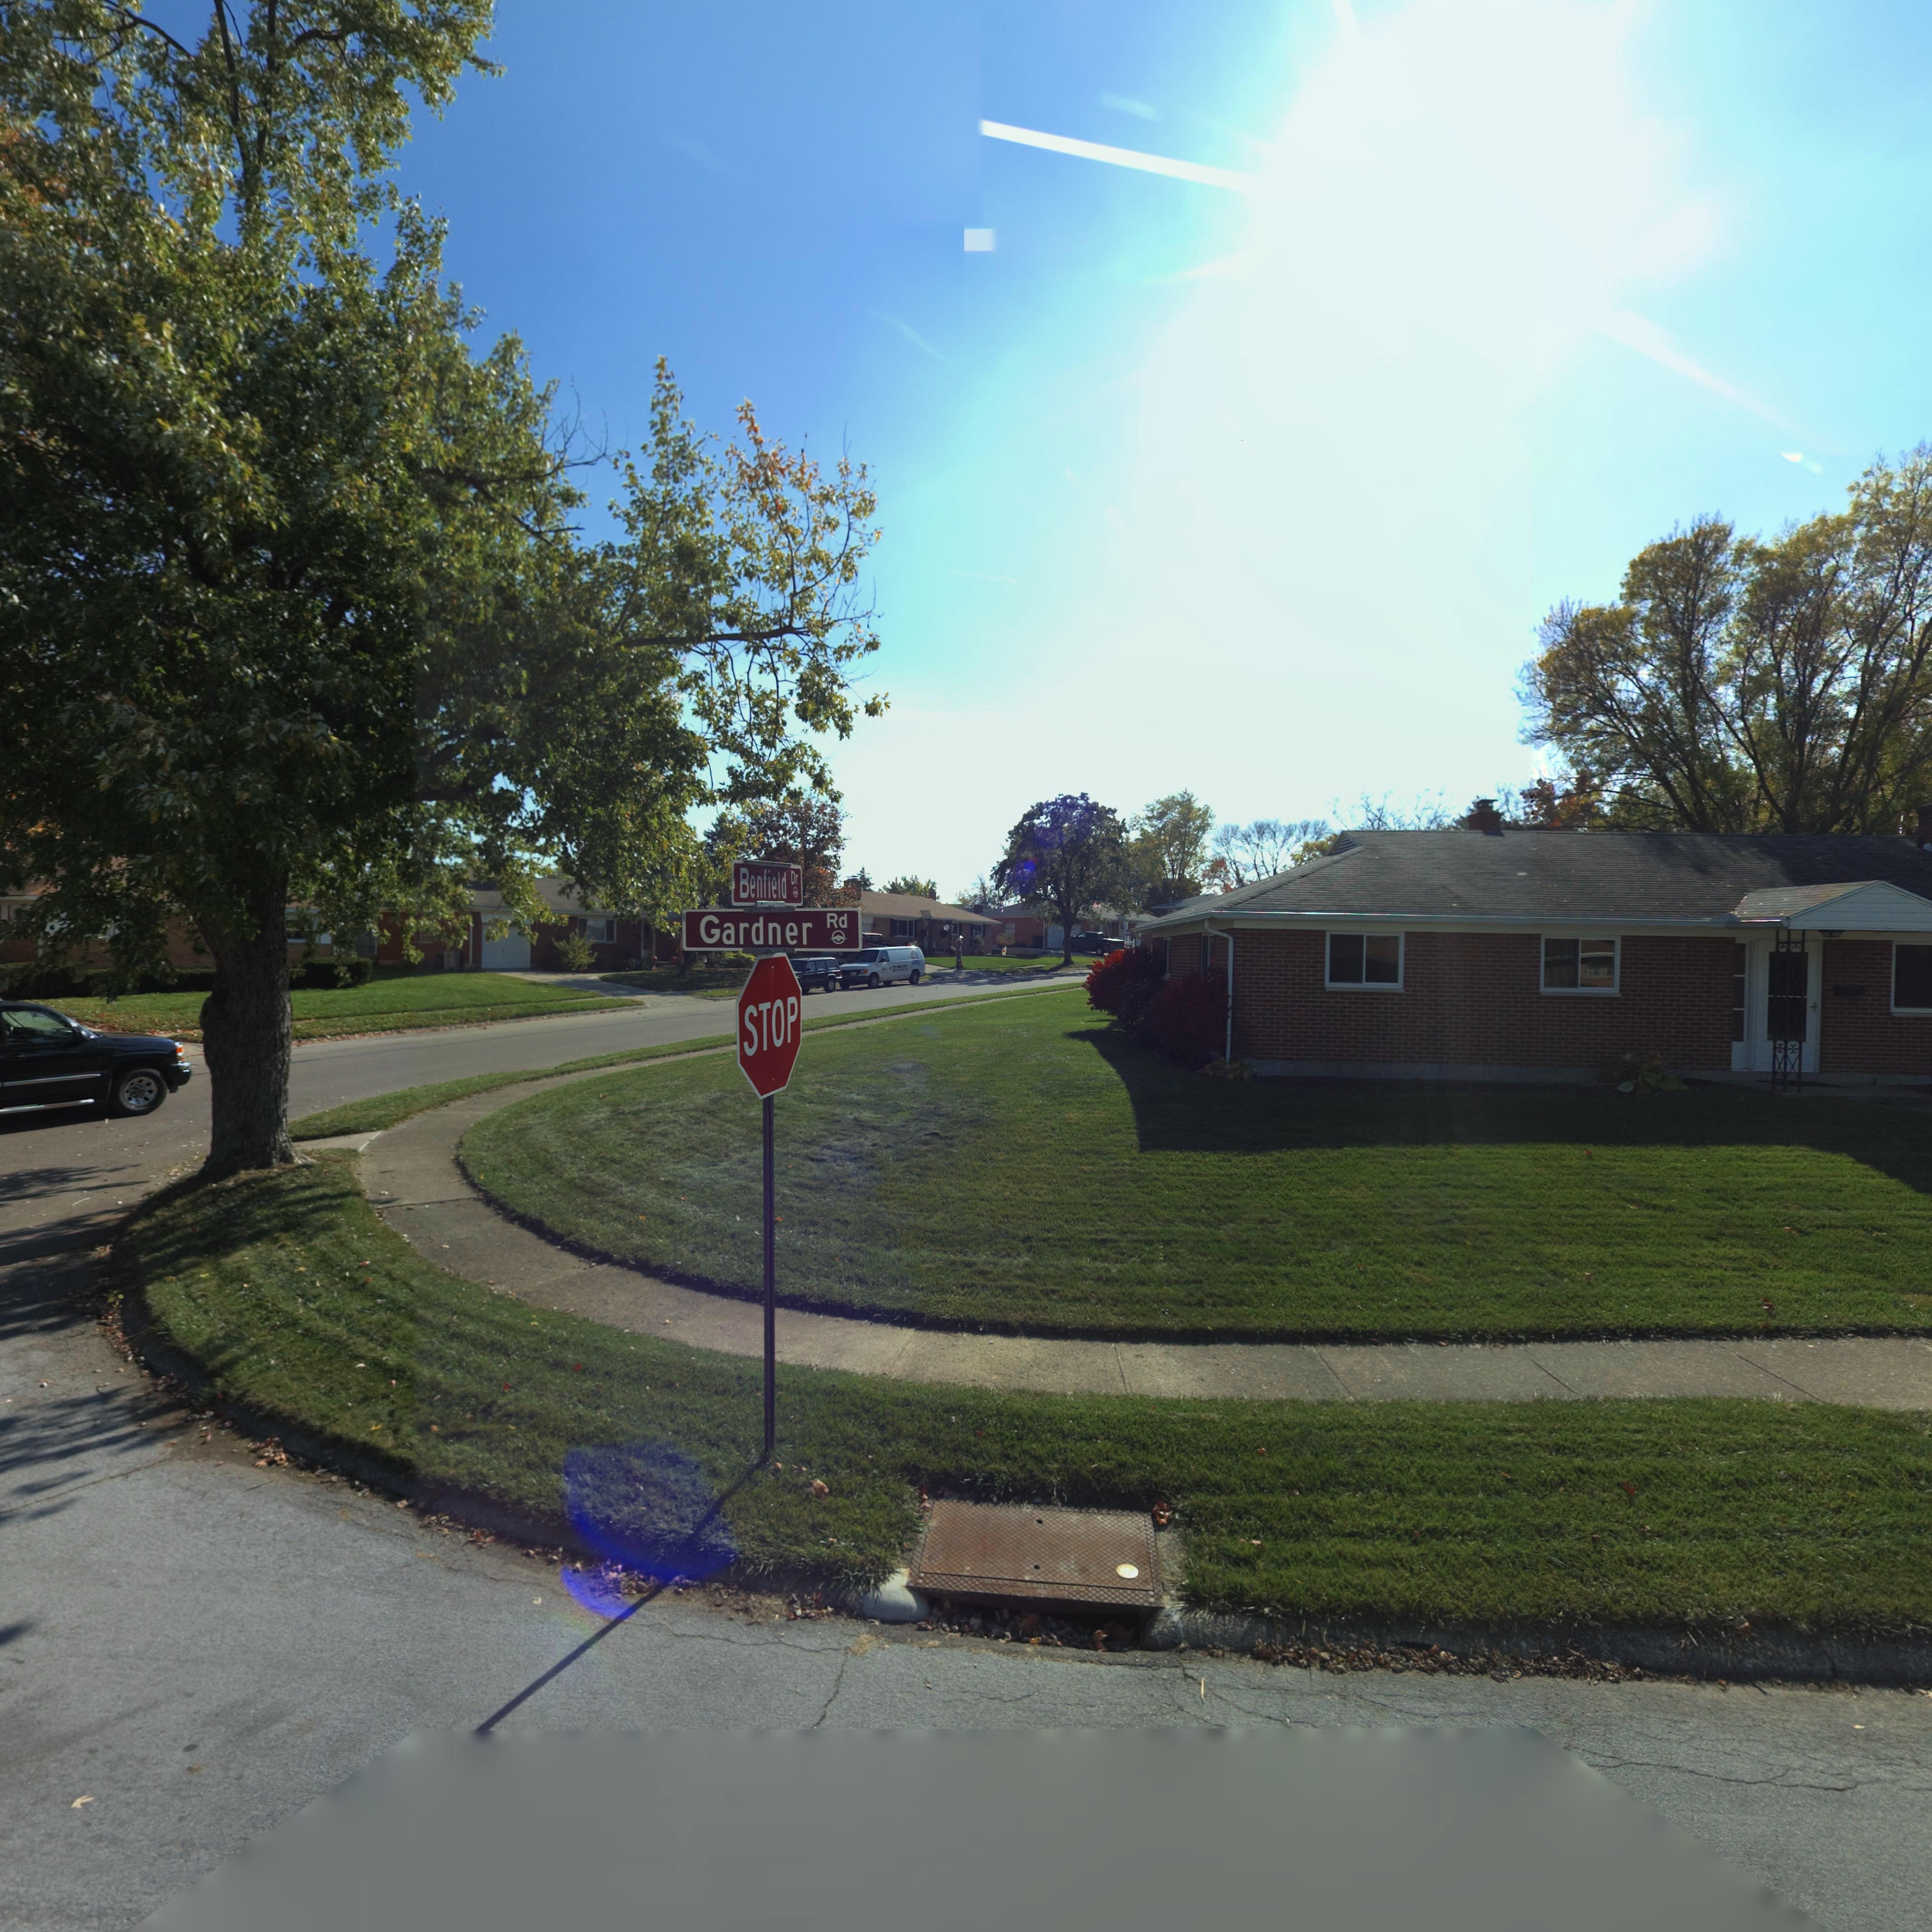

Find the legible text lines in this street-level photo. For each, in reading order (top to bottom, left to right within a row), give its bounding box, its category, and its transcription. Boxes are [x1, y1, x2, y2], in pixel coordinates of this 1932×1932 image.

[738, 865, 800, 900] StreetName: Benfield Dr
[699, 911, 849, 946] StreetName: Garder Rd